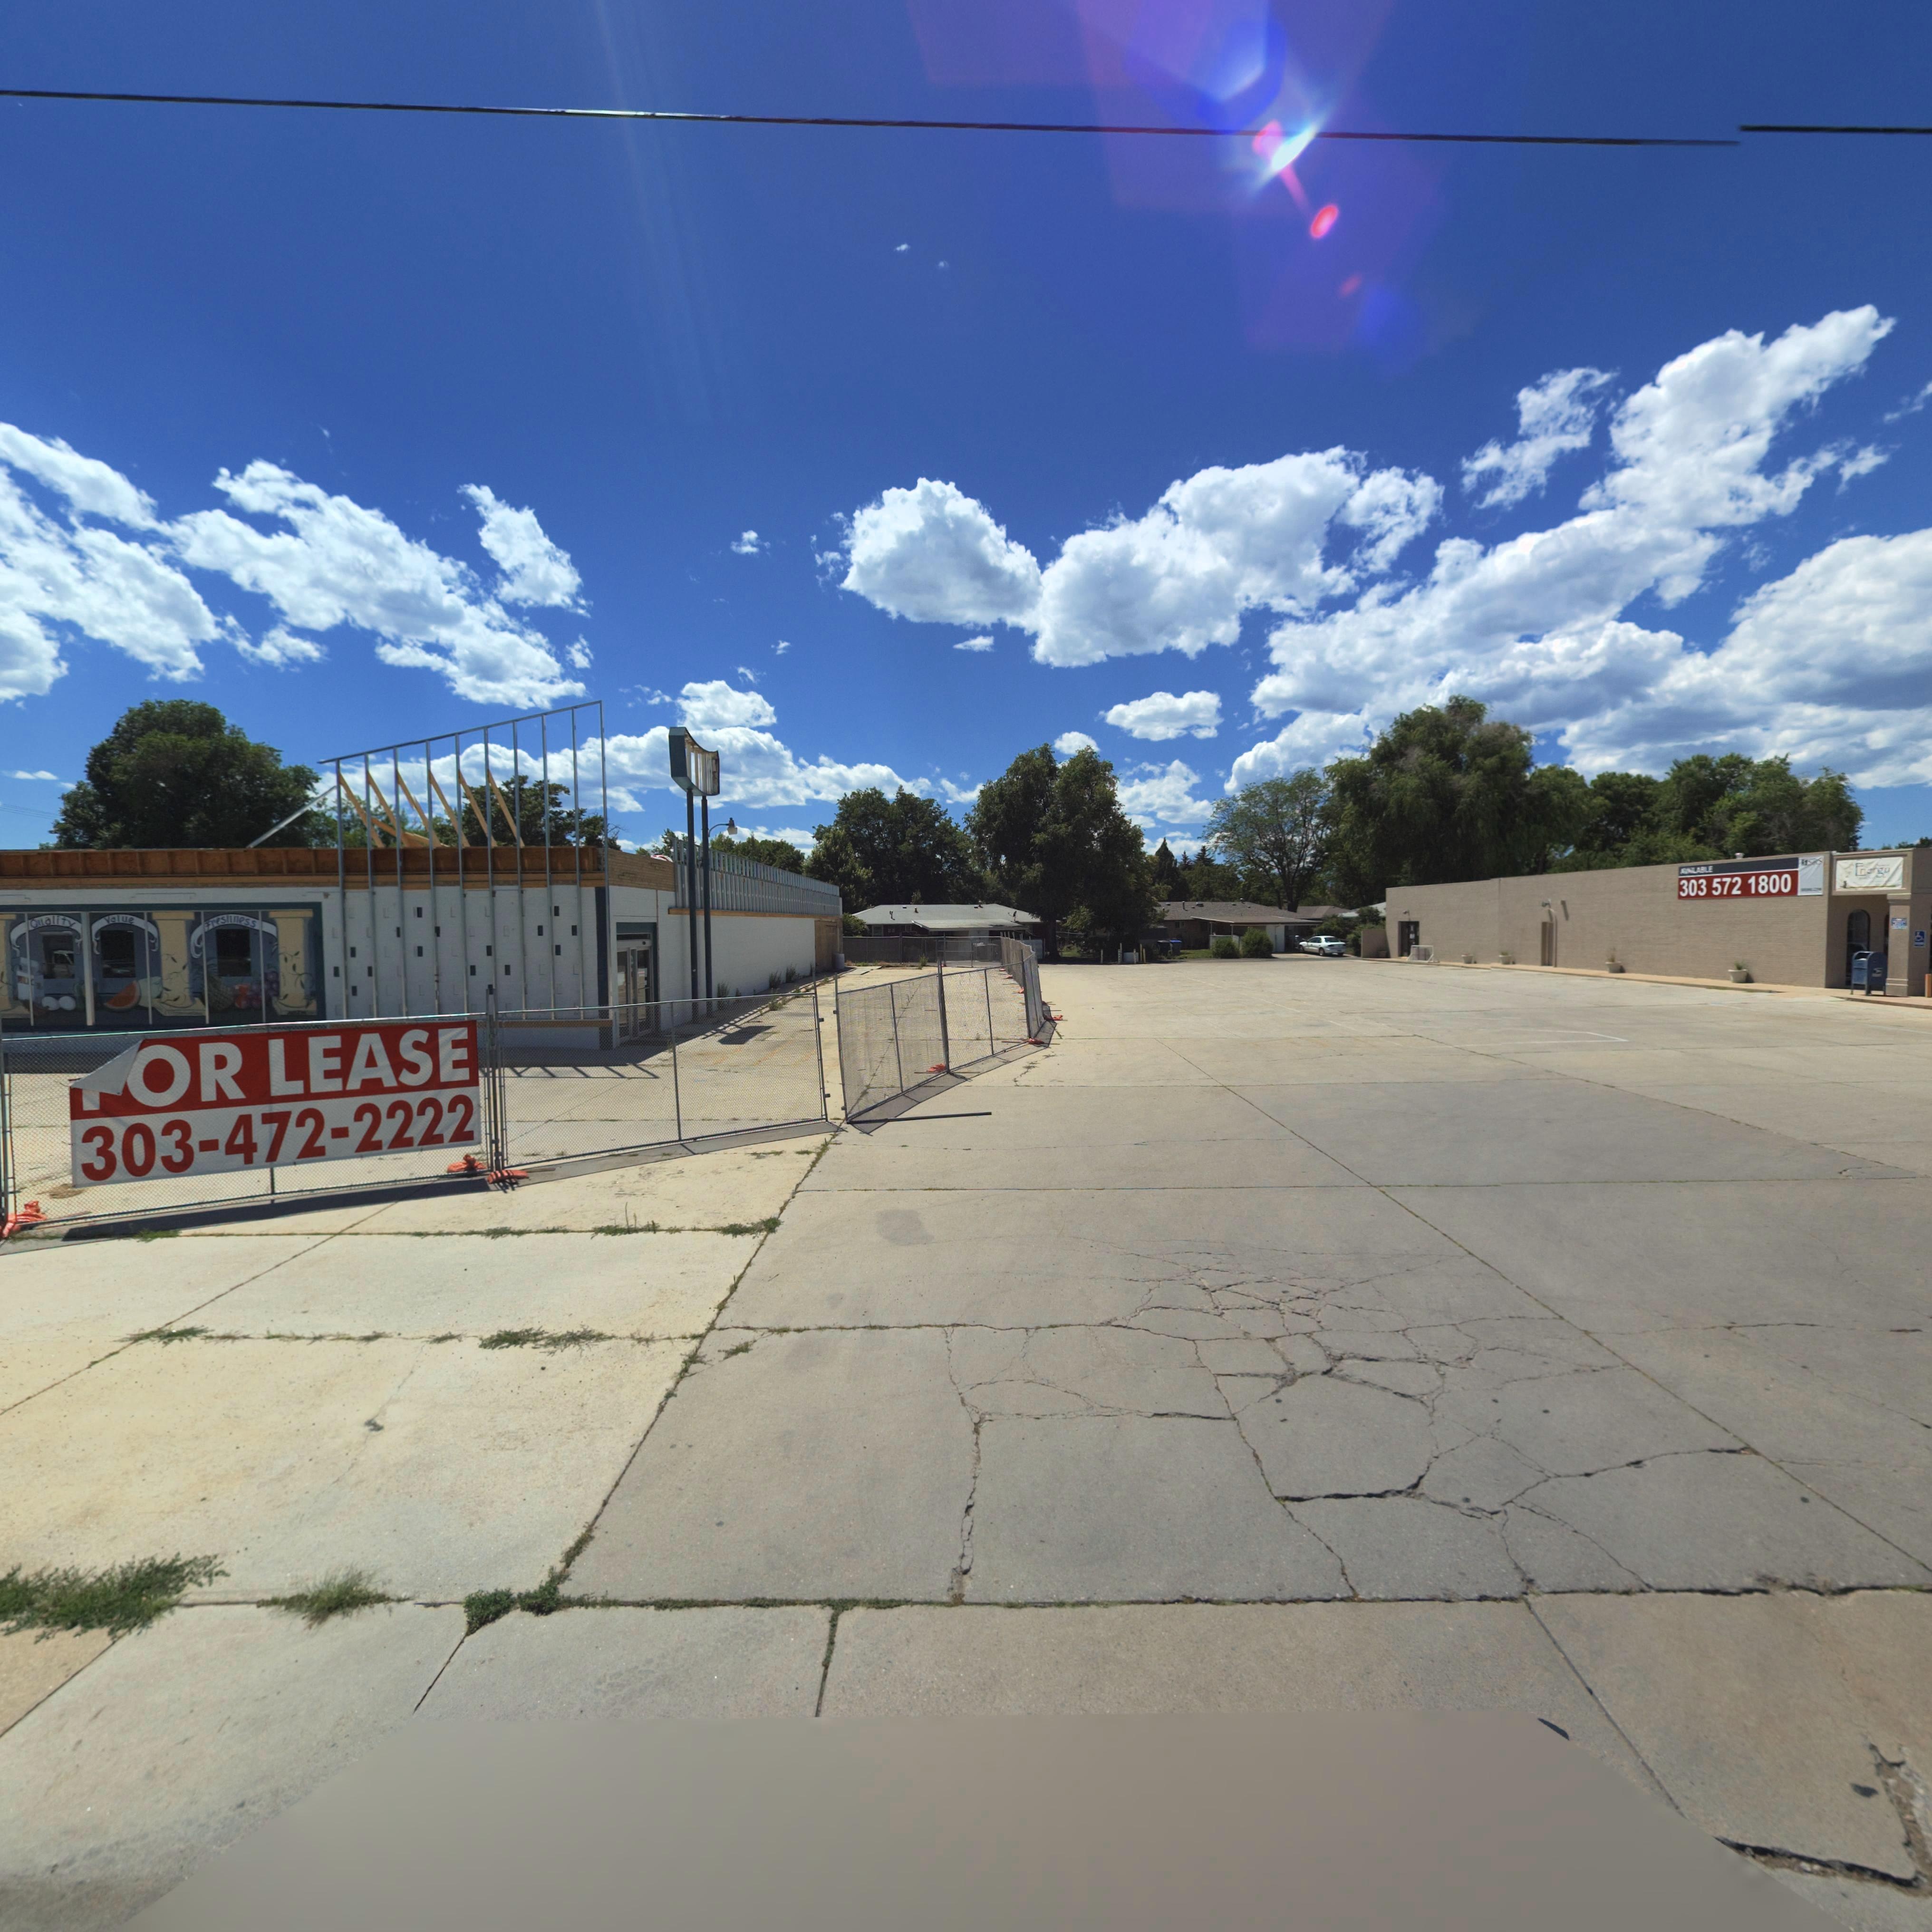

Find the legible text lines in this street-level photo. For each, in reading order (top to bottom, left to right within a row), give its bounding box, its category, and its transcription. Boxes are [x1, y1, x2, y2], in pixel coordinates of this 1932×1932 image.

[1855, 862, 1892, 878] BusinessName: Energy